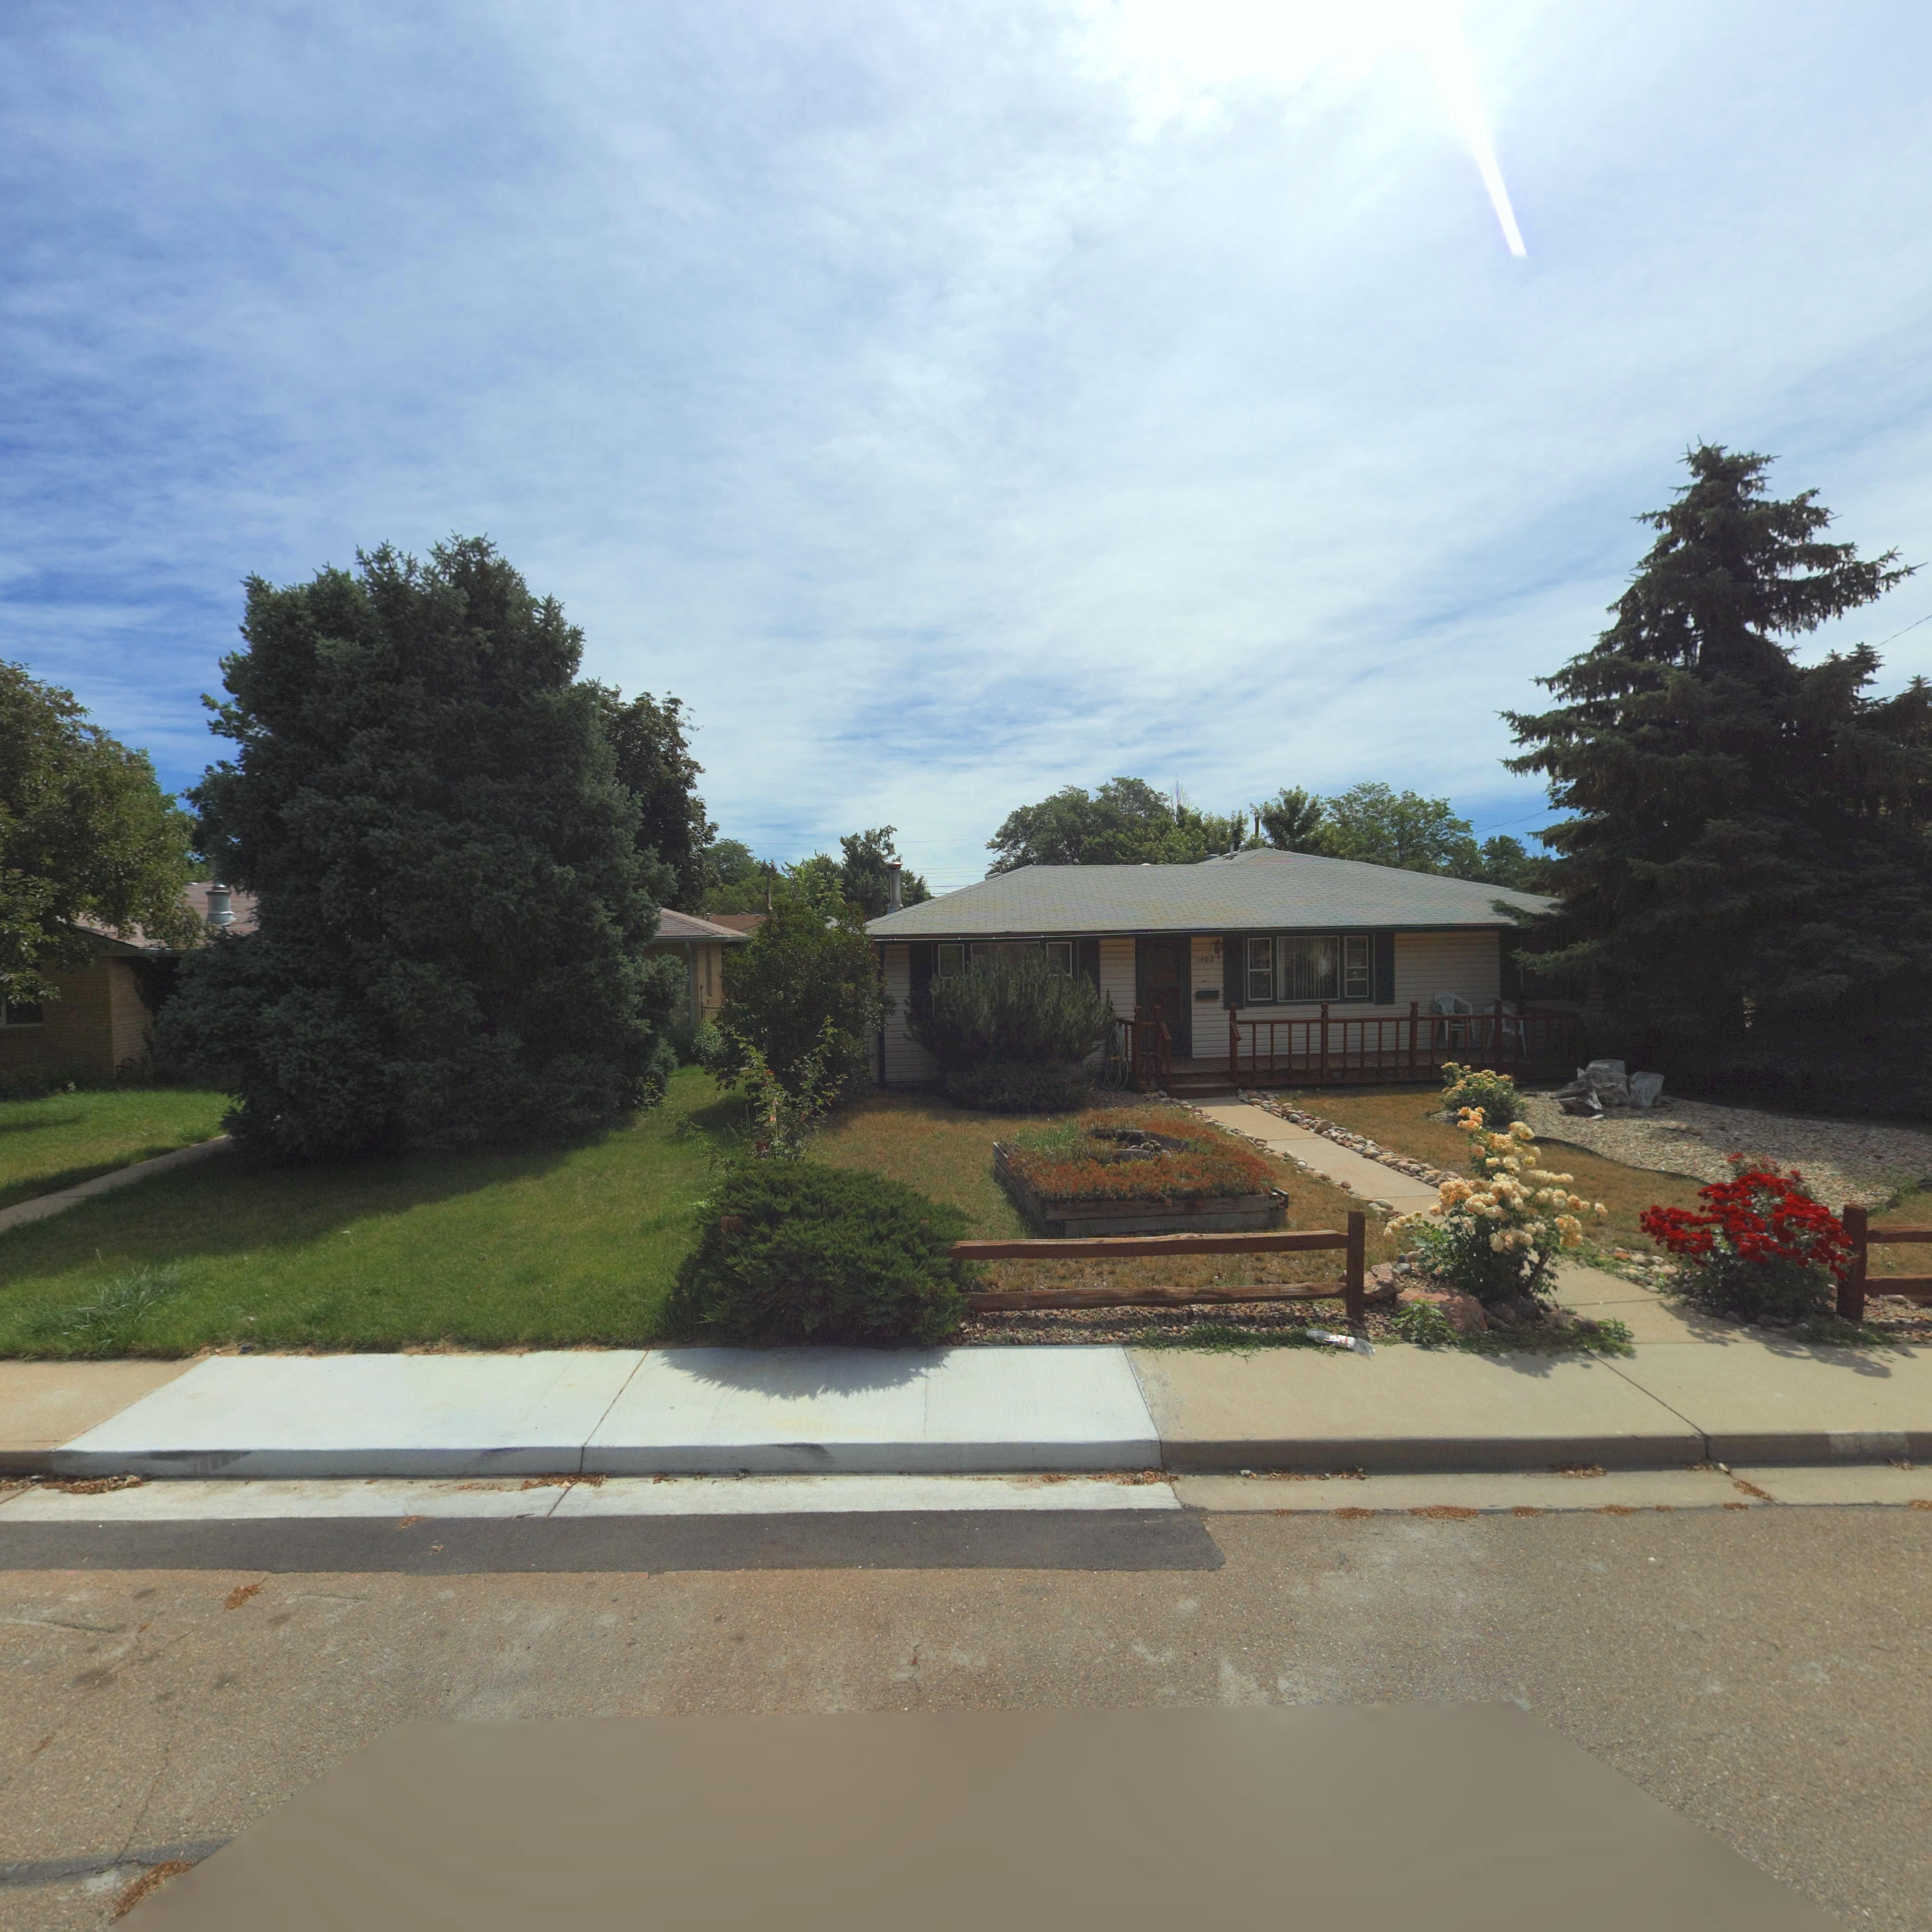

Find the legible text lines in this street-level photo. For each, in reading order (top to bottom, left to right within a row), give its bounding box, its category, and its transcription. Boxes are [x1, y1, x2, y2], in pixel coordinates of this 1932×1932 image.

[1197, 955, 1214, 963] StreetNumber: 1402